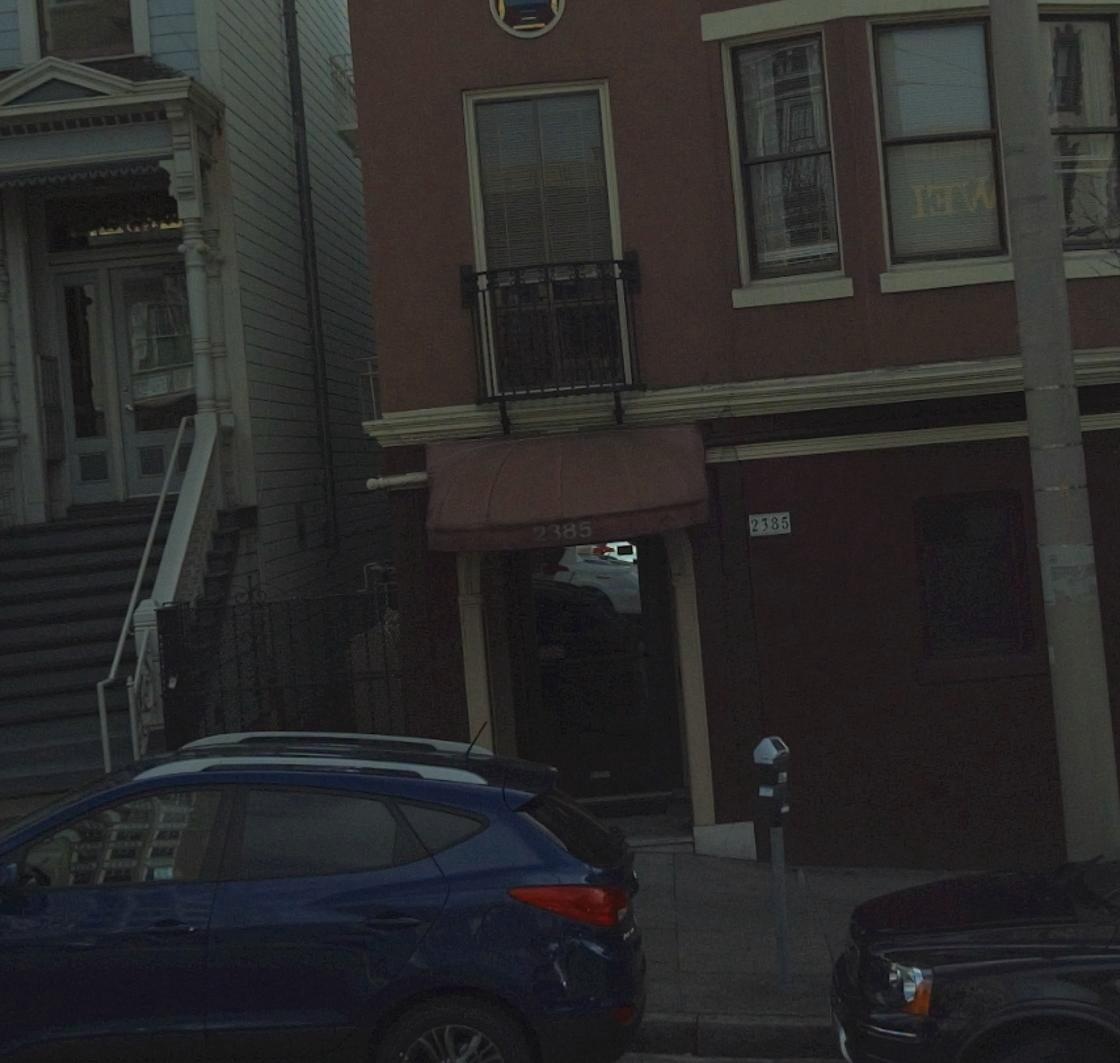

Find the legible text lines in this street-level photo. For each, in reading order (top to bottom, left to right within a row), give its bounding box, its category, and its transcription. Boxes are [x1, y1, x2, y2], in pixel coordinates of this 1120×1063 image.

[529, 518, 595, 545] StreetNumber: 2385
[747, 513, 792, 536] StreetNumber: 2385